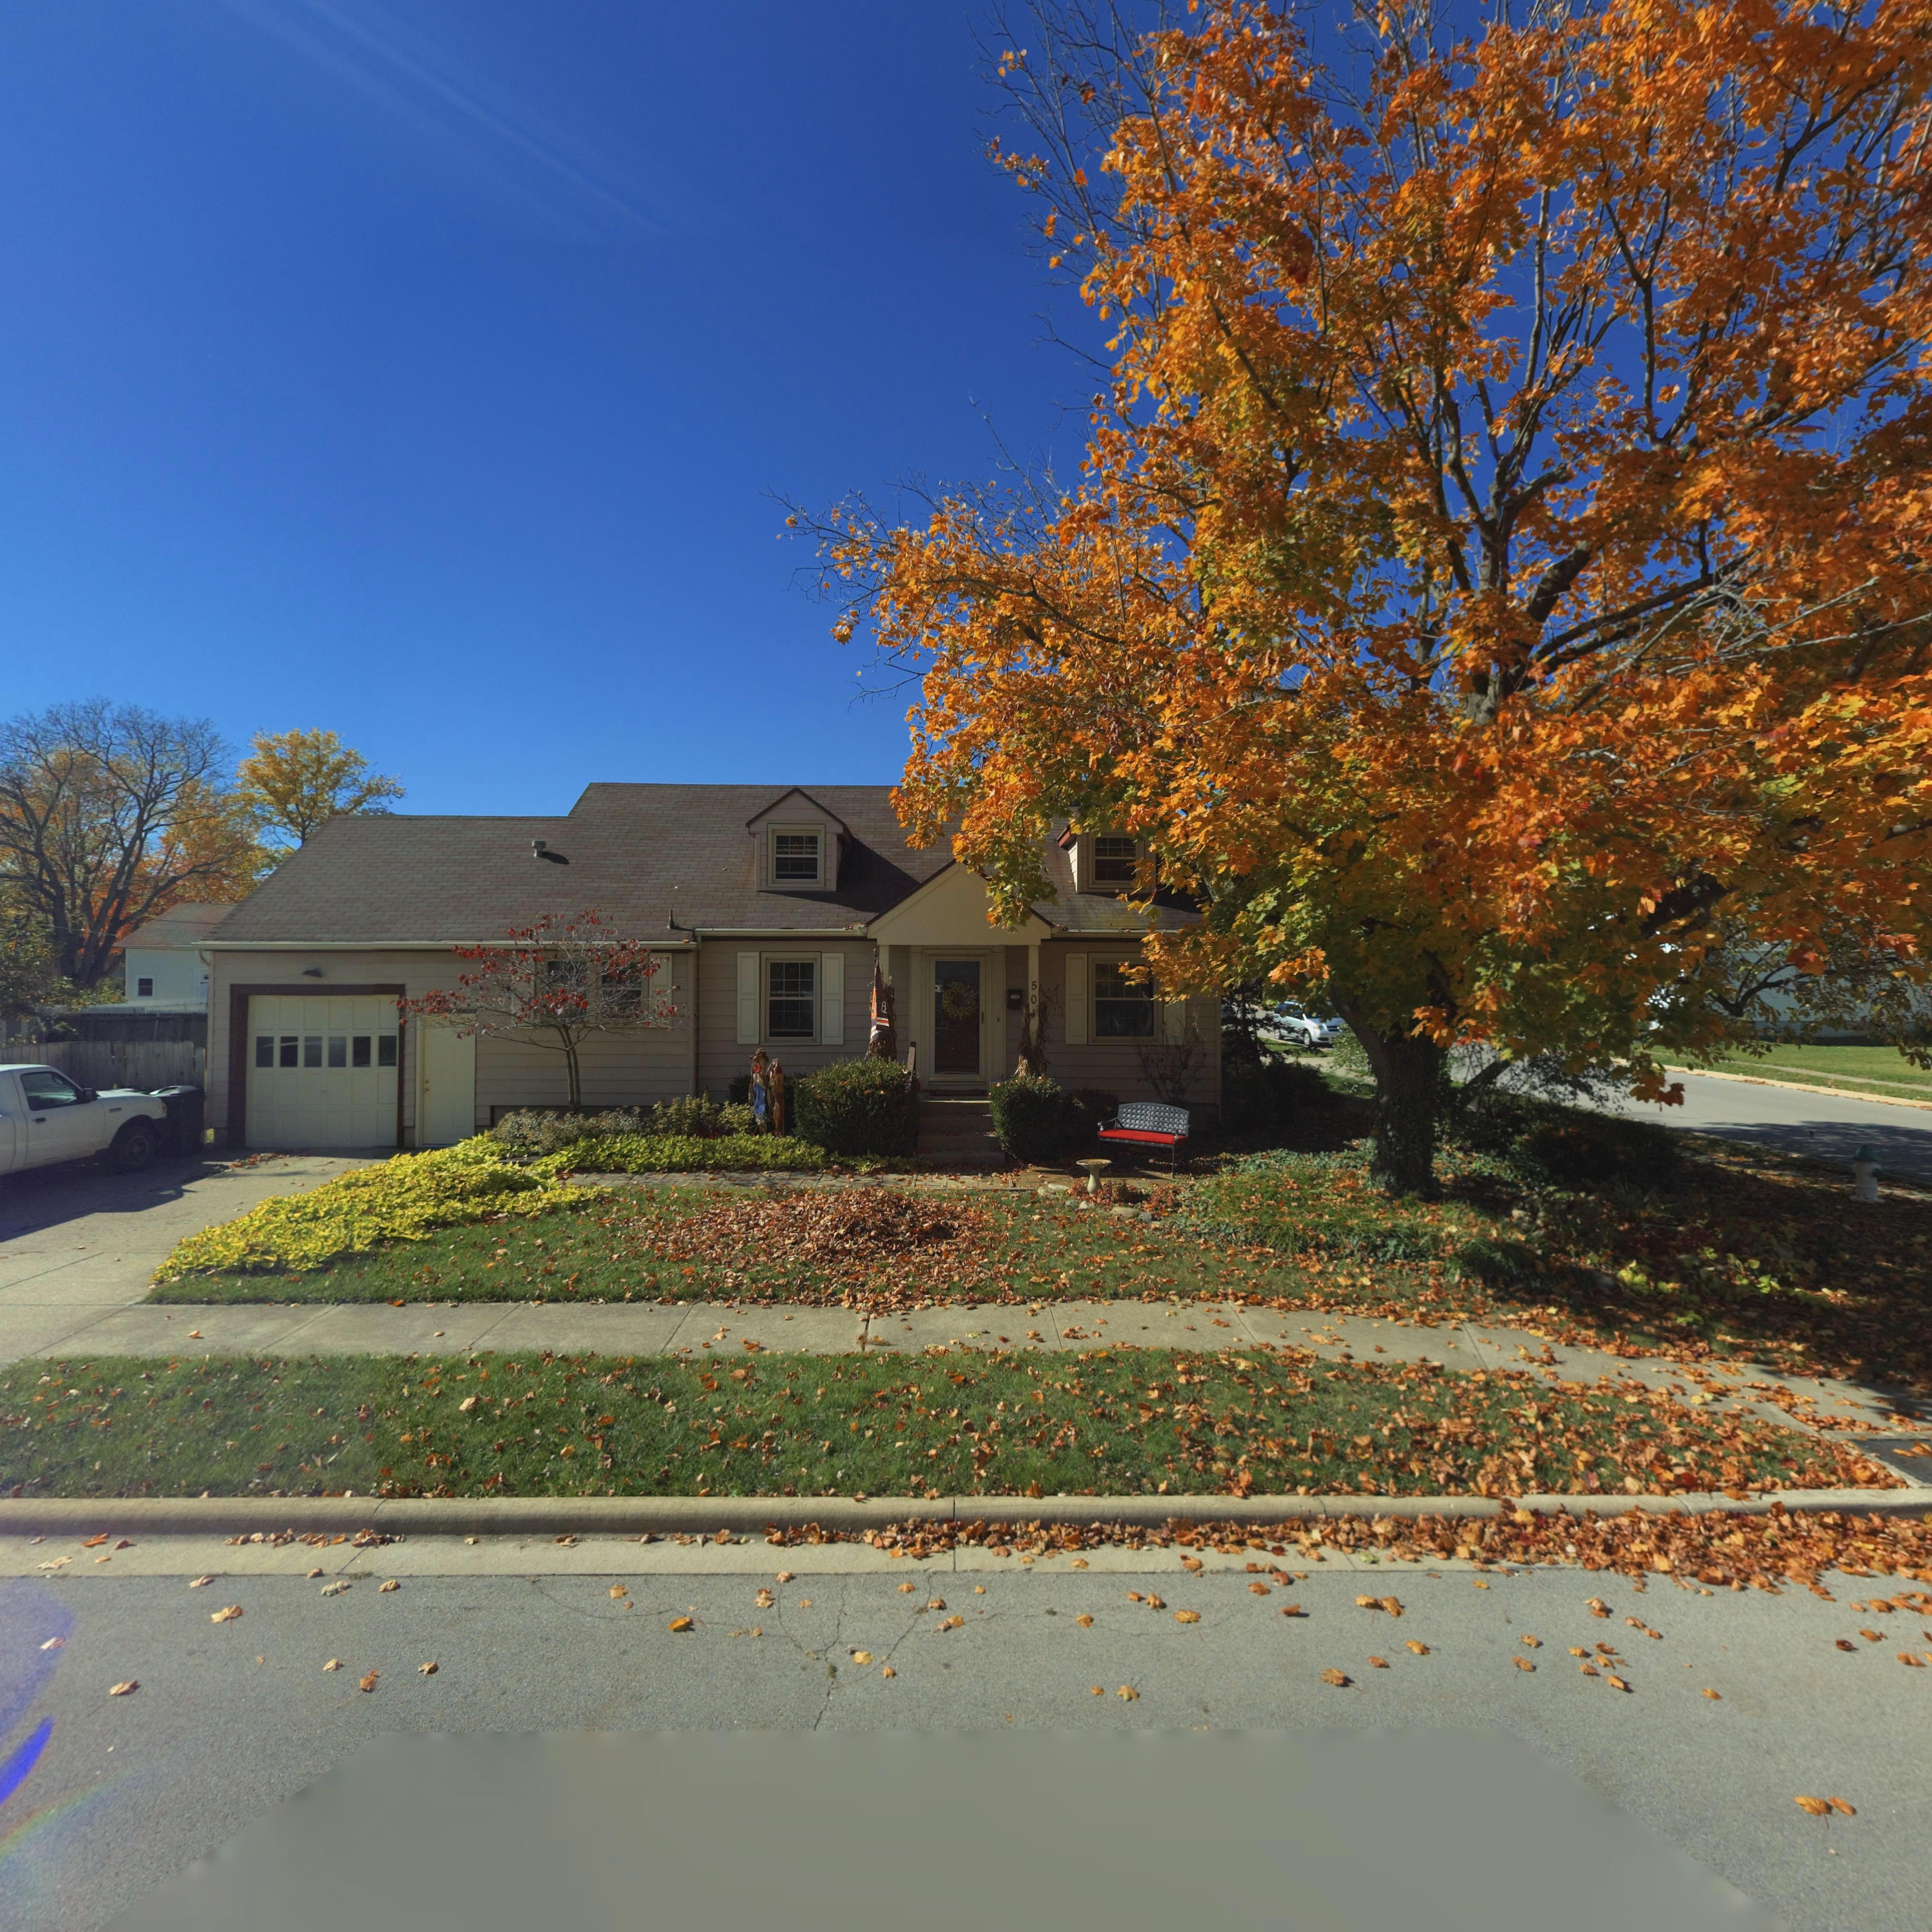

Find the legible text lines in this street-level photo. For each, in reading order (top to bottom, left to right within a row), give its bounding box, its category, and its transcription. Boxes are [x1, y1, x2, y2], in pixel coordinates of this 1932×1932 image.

[1029, 979, 1038, 1019] StreetNumber: 50*